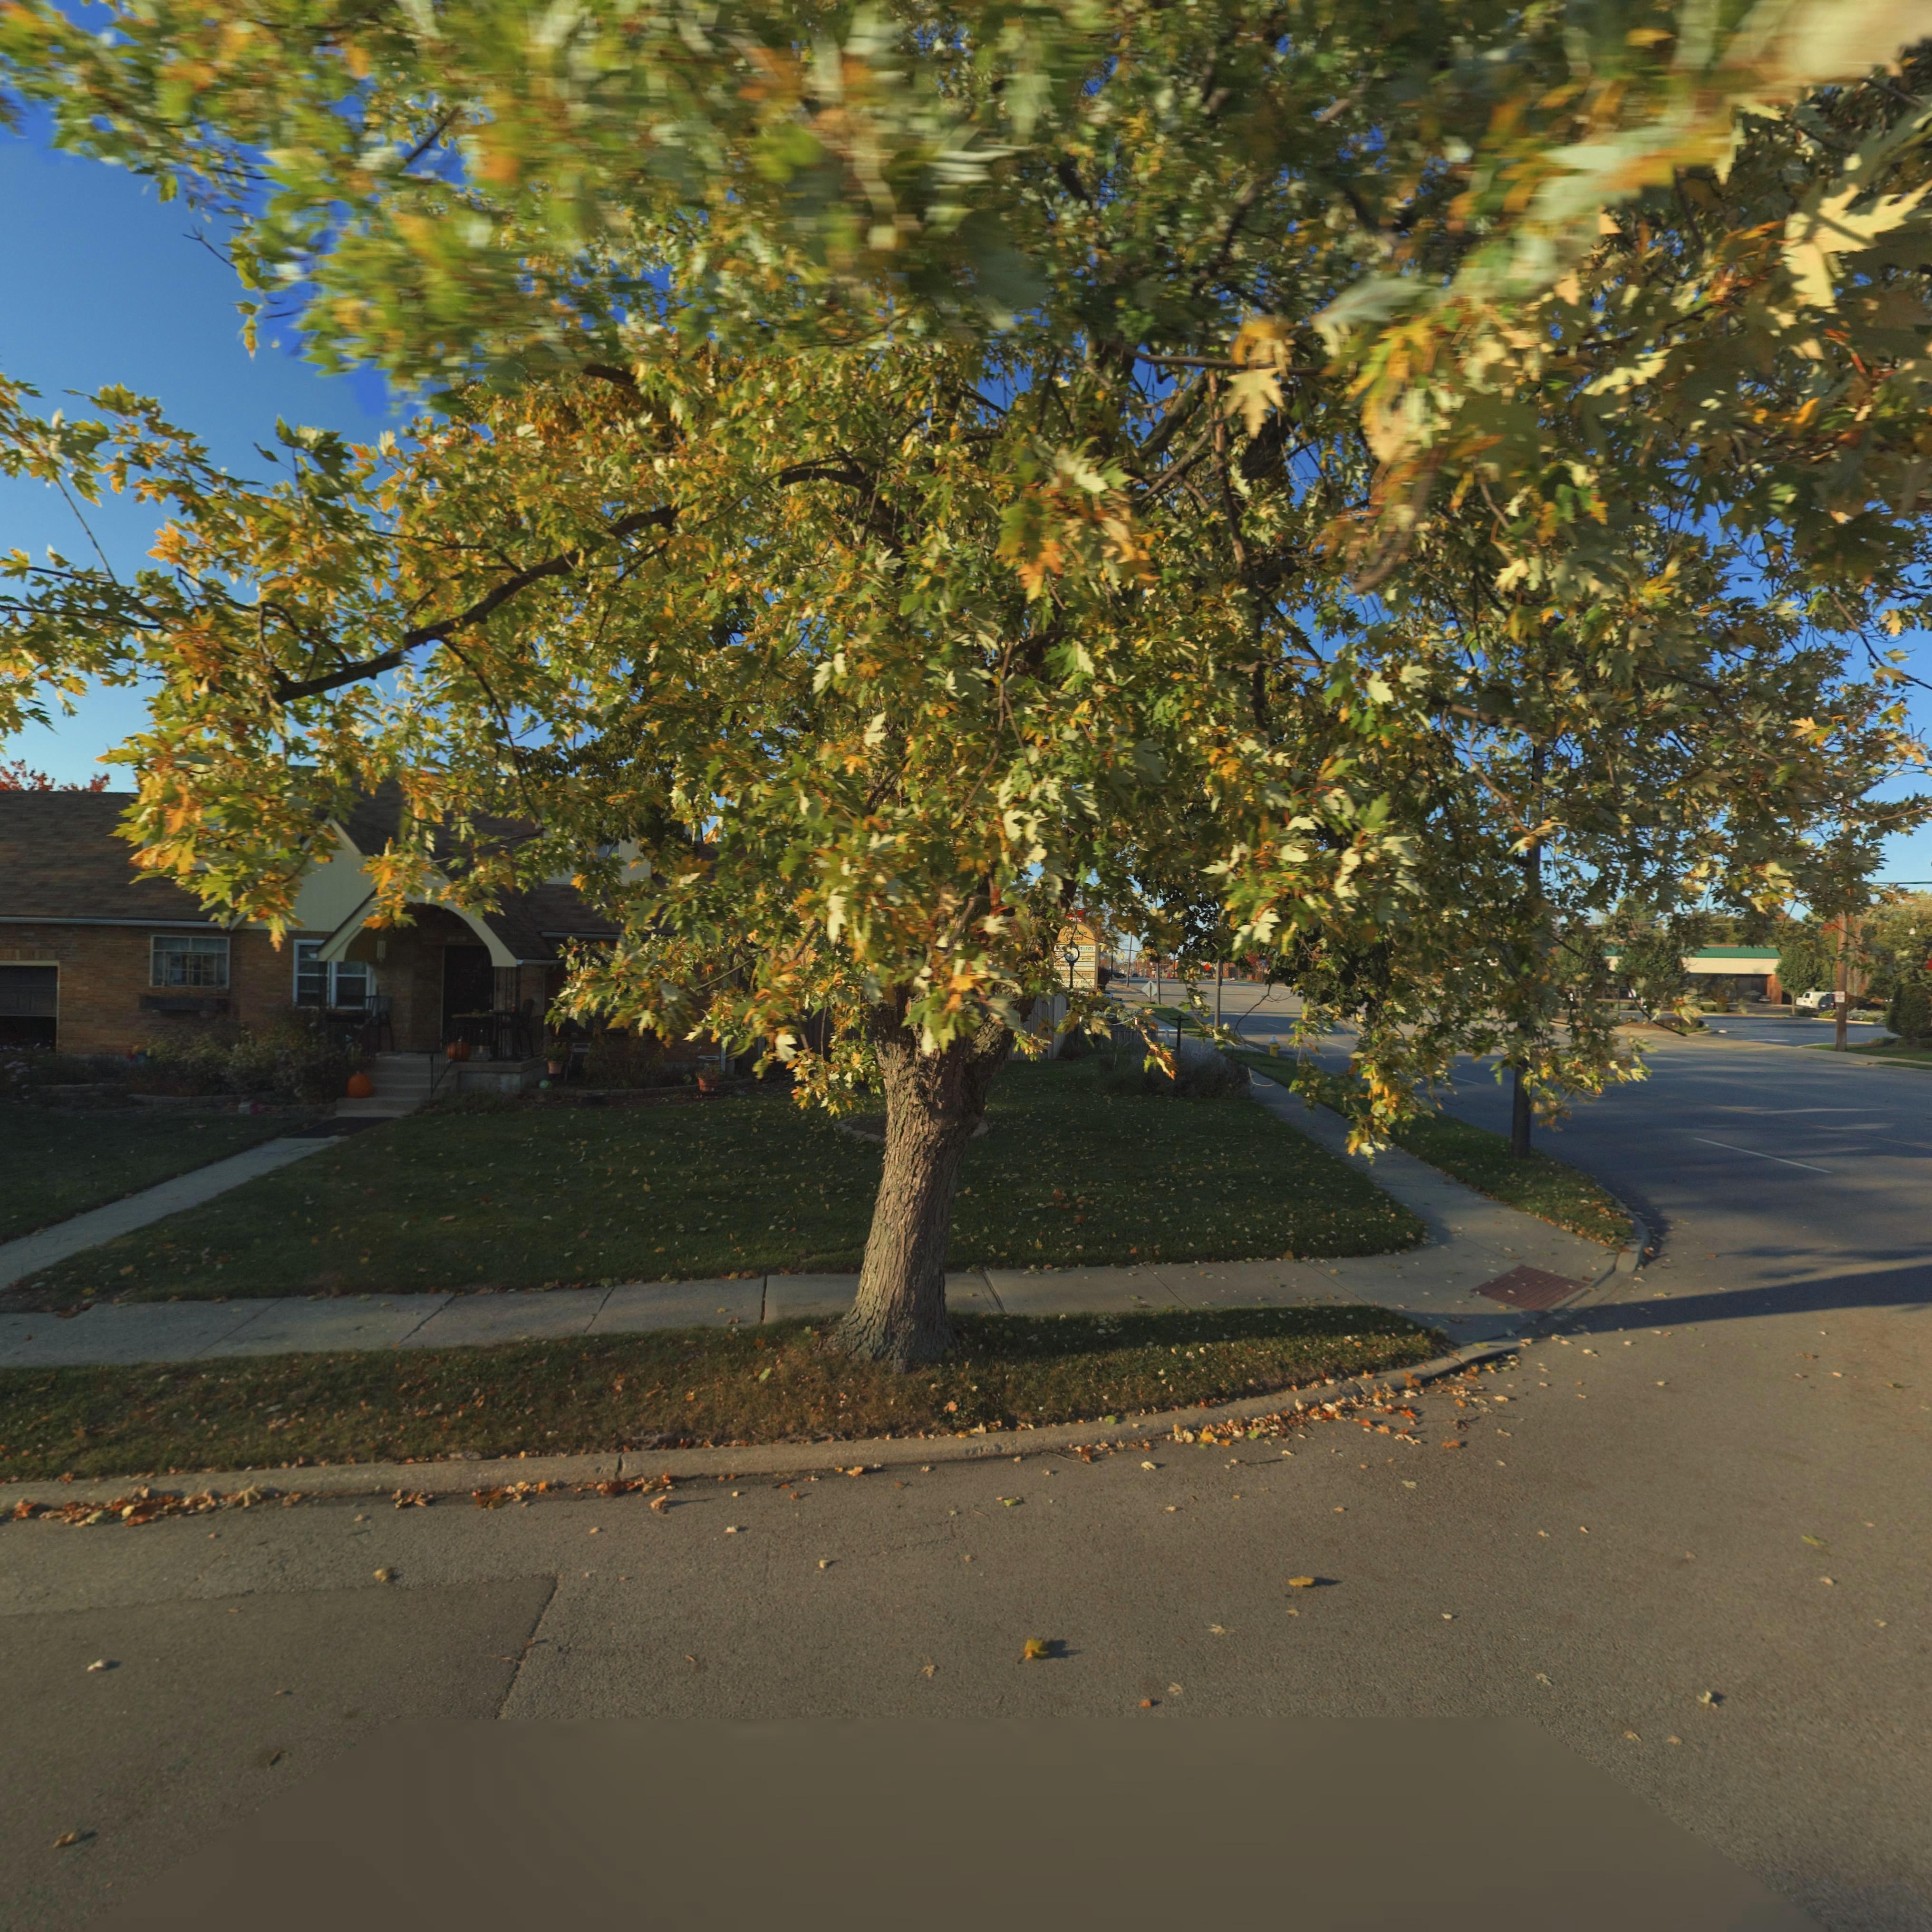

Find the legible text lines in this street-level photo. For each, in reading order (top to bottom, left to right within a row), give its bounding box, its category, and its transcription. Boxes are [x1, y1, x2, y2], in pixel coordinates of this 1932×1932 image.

[450, 936, 464, 943] StreetNumber: 10*